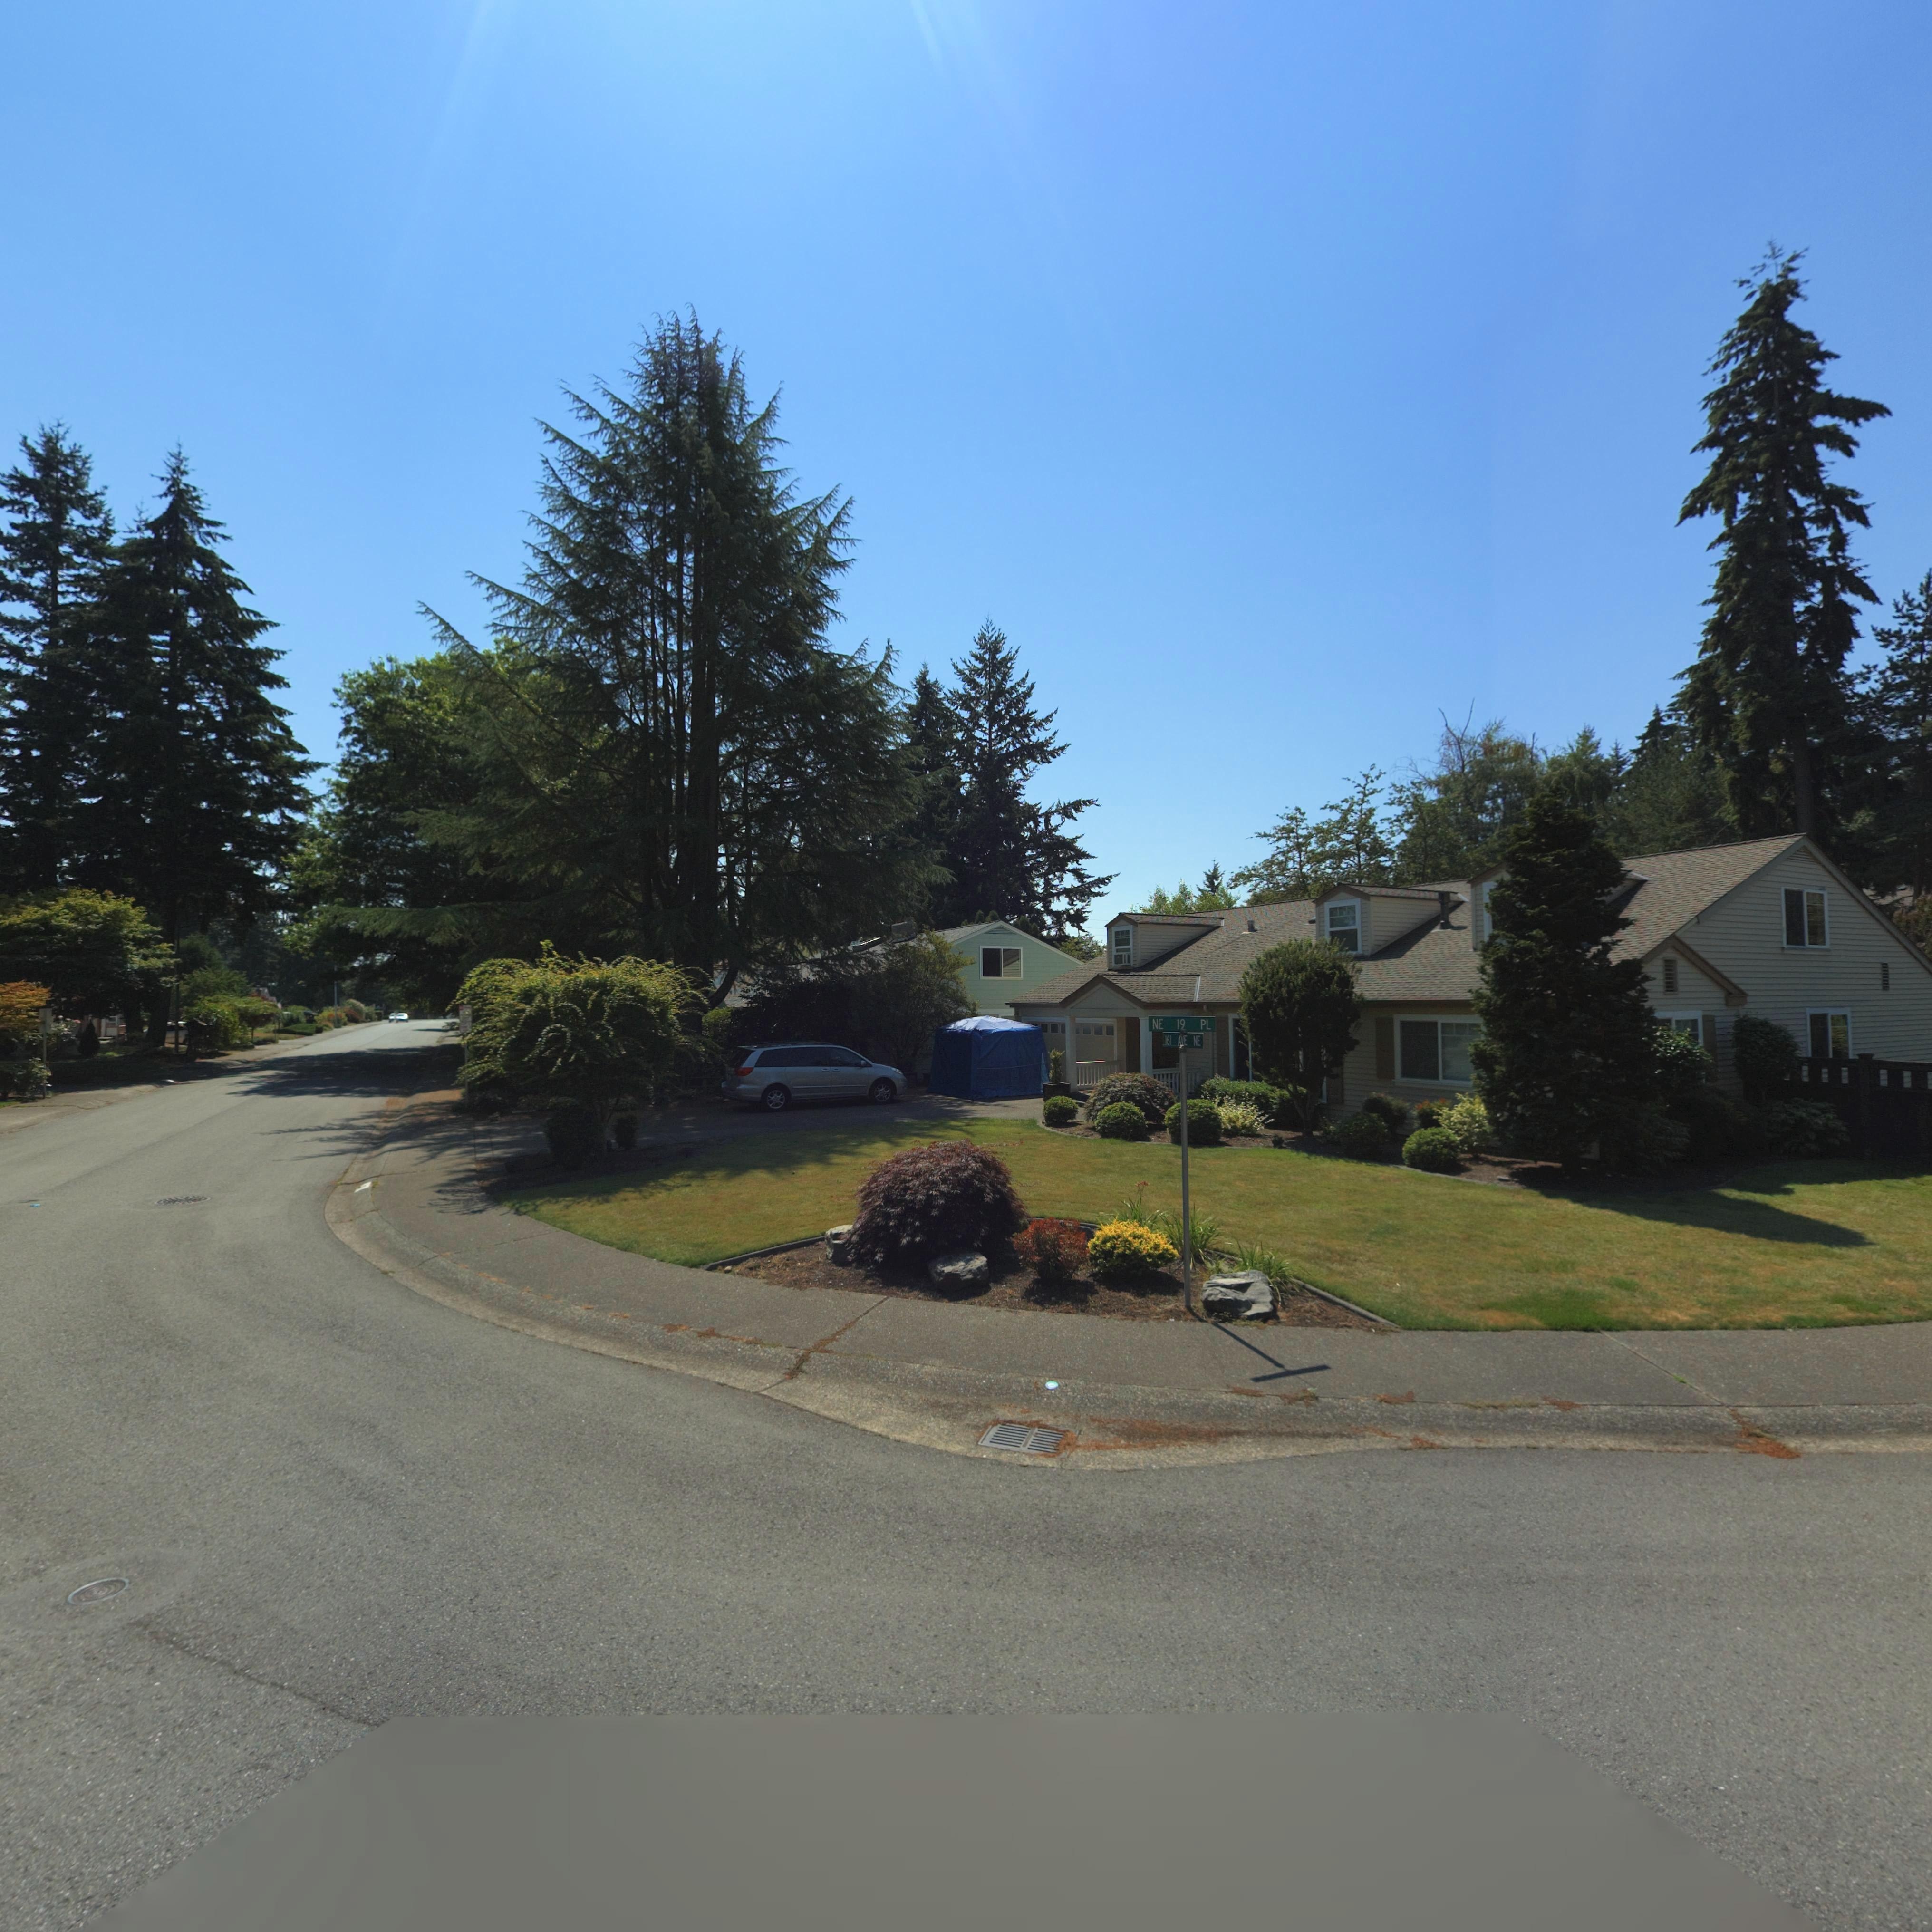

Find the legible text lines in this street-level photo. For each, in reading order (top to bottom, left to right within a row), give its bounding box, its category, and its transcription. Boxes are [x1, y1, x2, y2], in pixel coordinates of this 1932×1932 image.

[1151, 1019, 1211, 1029] StreetName: NE 19 PL
[1164, 1034, 1202, 1046] StreetName: 161 AVE NE